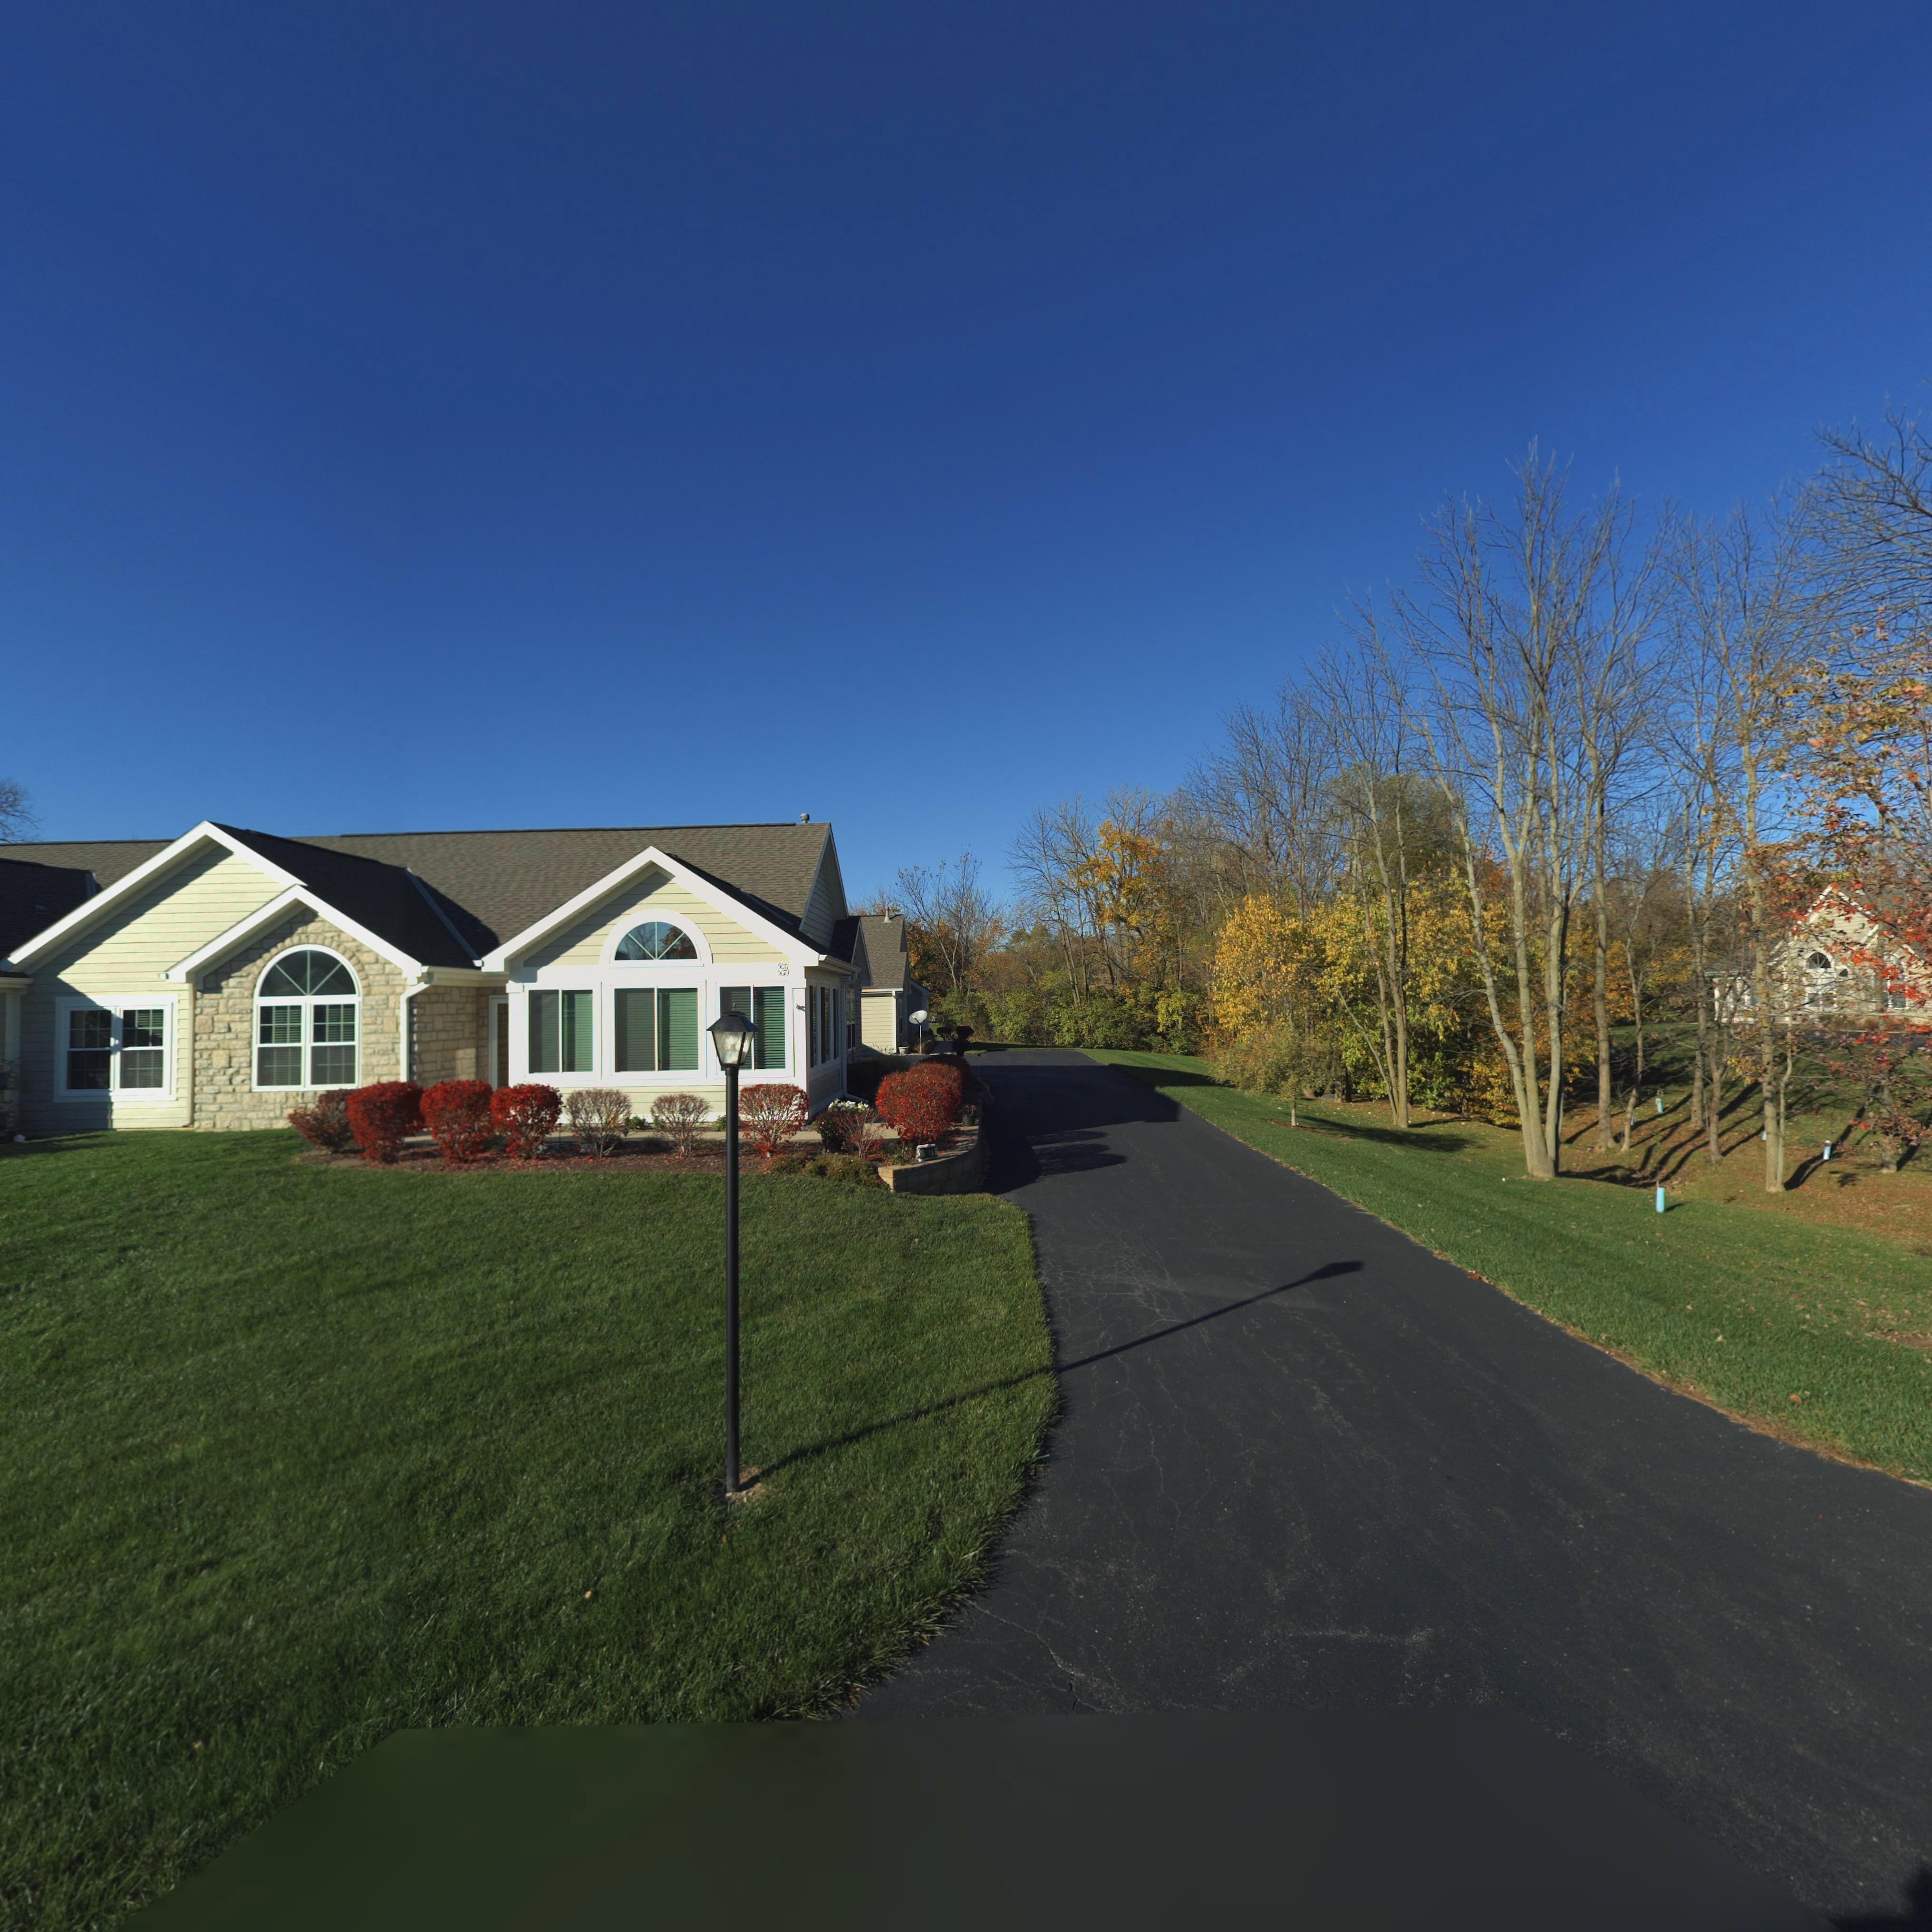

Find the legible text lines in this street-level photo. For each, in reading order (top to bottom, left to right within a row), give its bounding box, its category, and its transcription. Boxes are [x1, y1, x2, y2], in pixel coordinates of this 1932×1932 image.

[776, 962, 791, 971] StreetNumber: 50**
[776, 969, 791, 977] StreetNumber: 5***